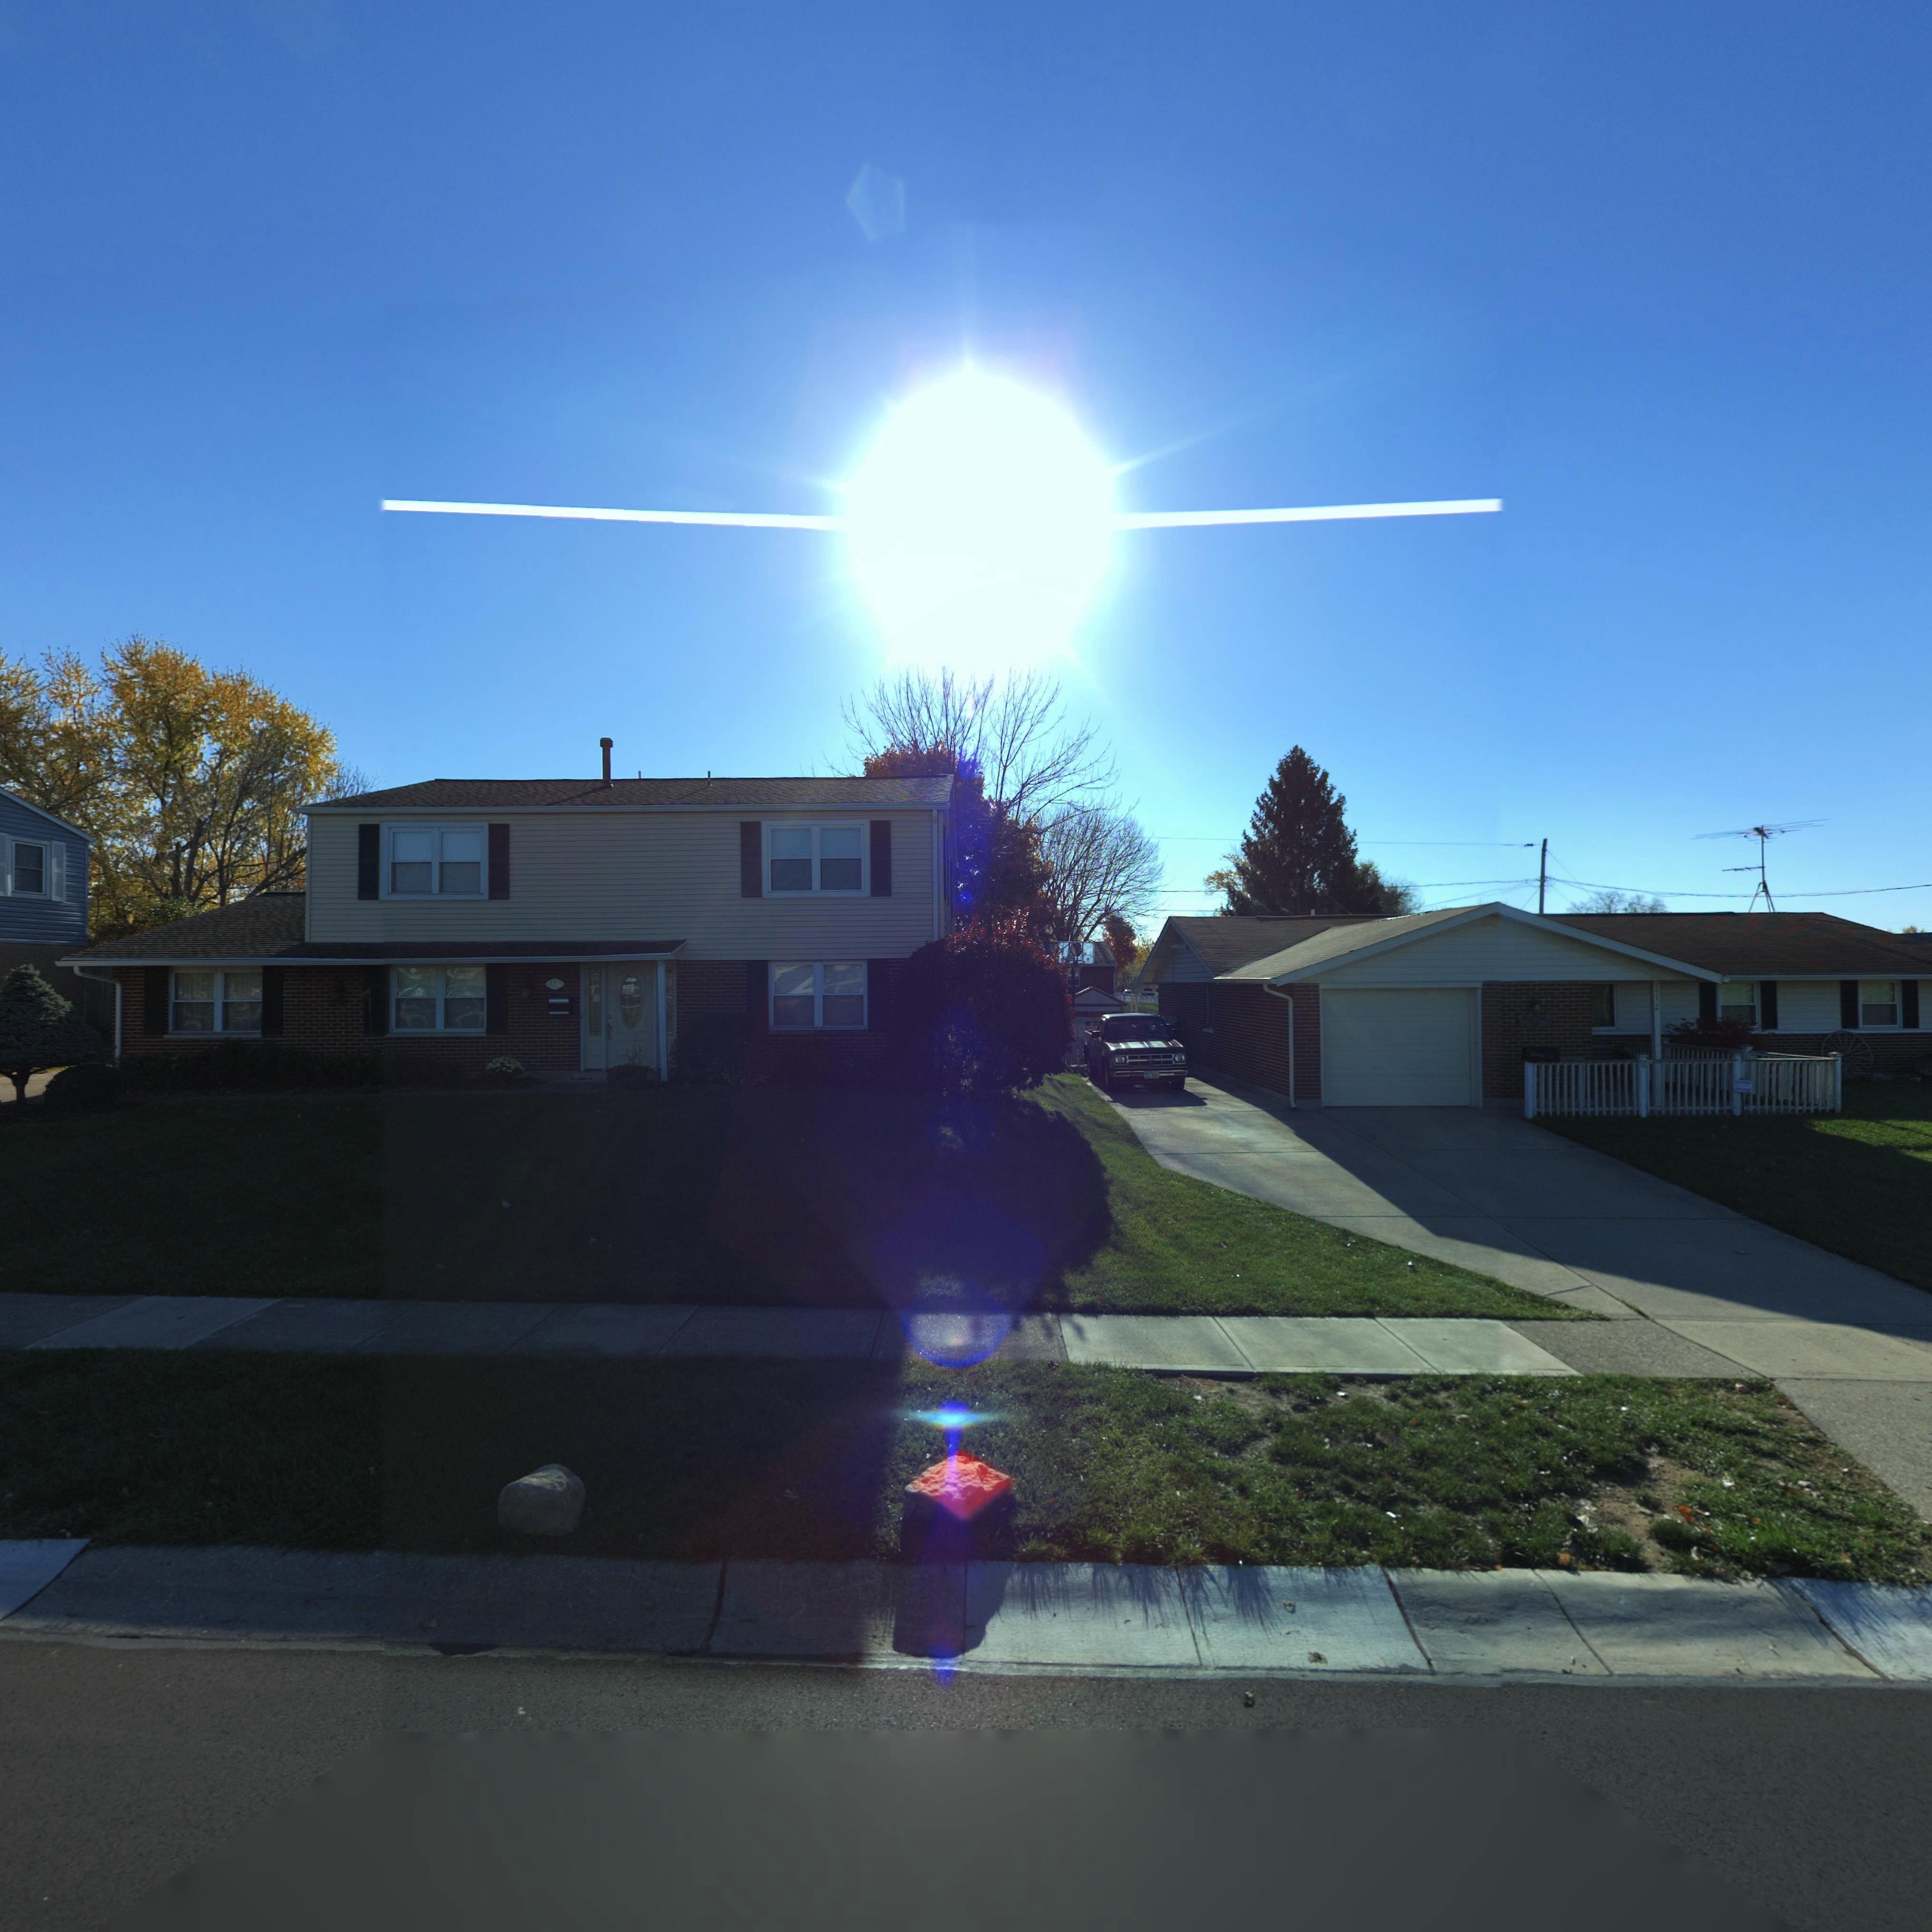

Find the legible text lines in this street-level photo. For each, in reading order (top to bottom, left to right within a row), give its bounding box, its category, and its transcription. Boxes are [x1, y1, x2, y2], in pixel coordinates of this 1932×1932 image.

[1653, 982, 1660, 1011] StreetNumber: ***2